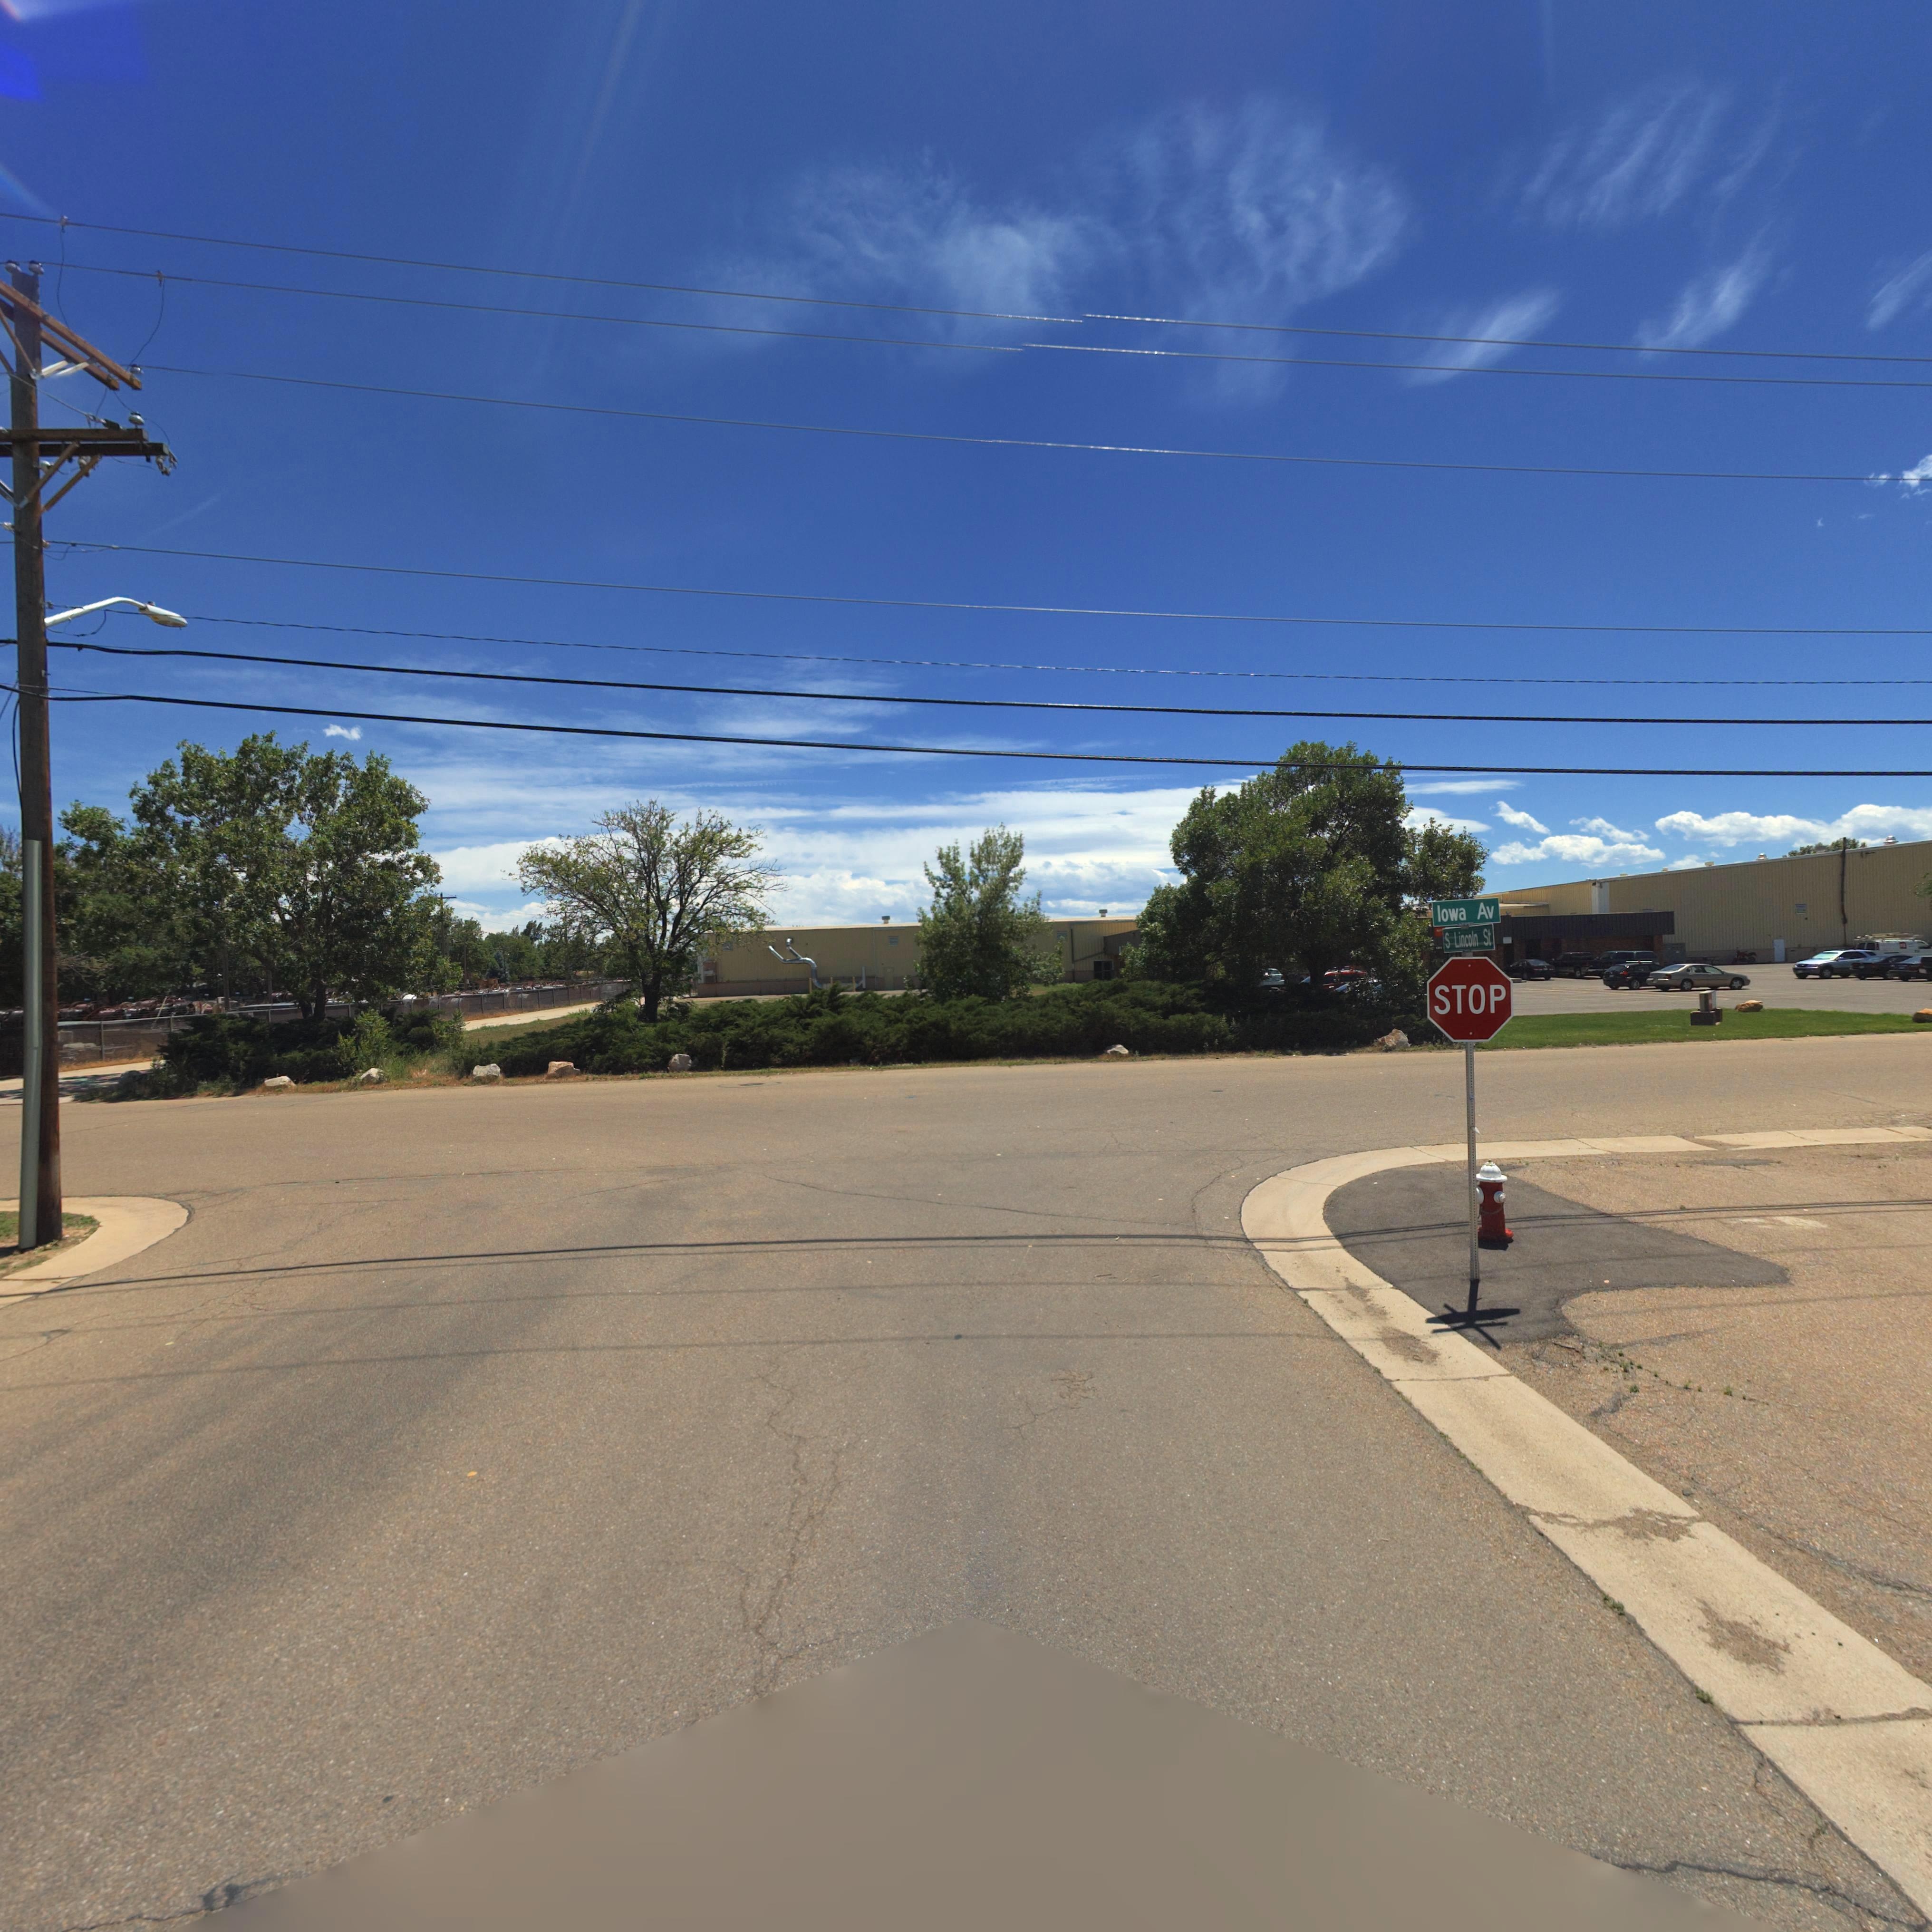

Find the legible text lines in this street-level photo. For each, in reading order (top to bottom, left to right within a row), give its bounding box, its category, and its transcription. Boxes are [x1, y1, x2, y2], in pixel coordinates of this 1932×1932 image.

[1437, 901, 1495, 922] StreetName: Iowa Av
[1435, 946, 1442, 949] StreetNumber: 1**3
[1443, 927, 1492, 949] StreetName: S Lincoln St